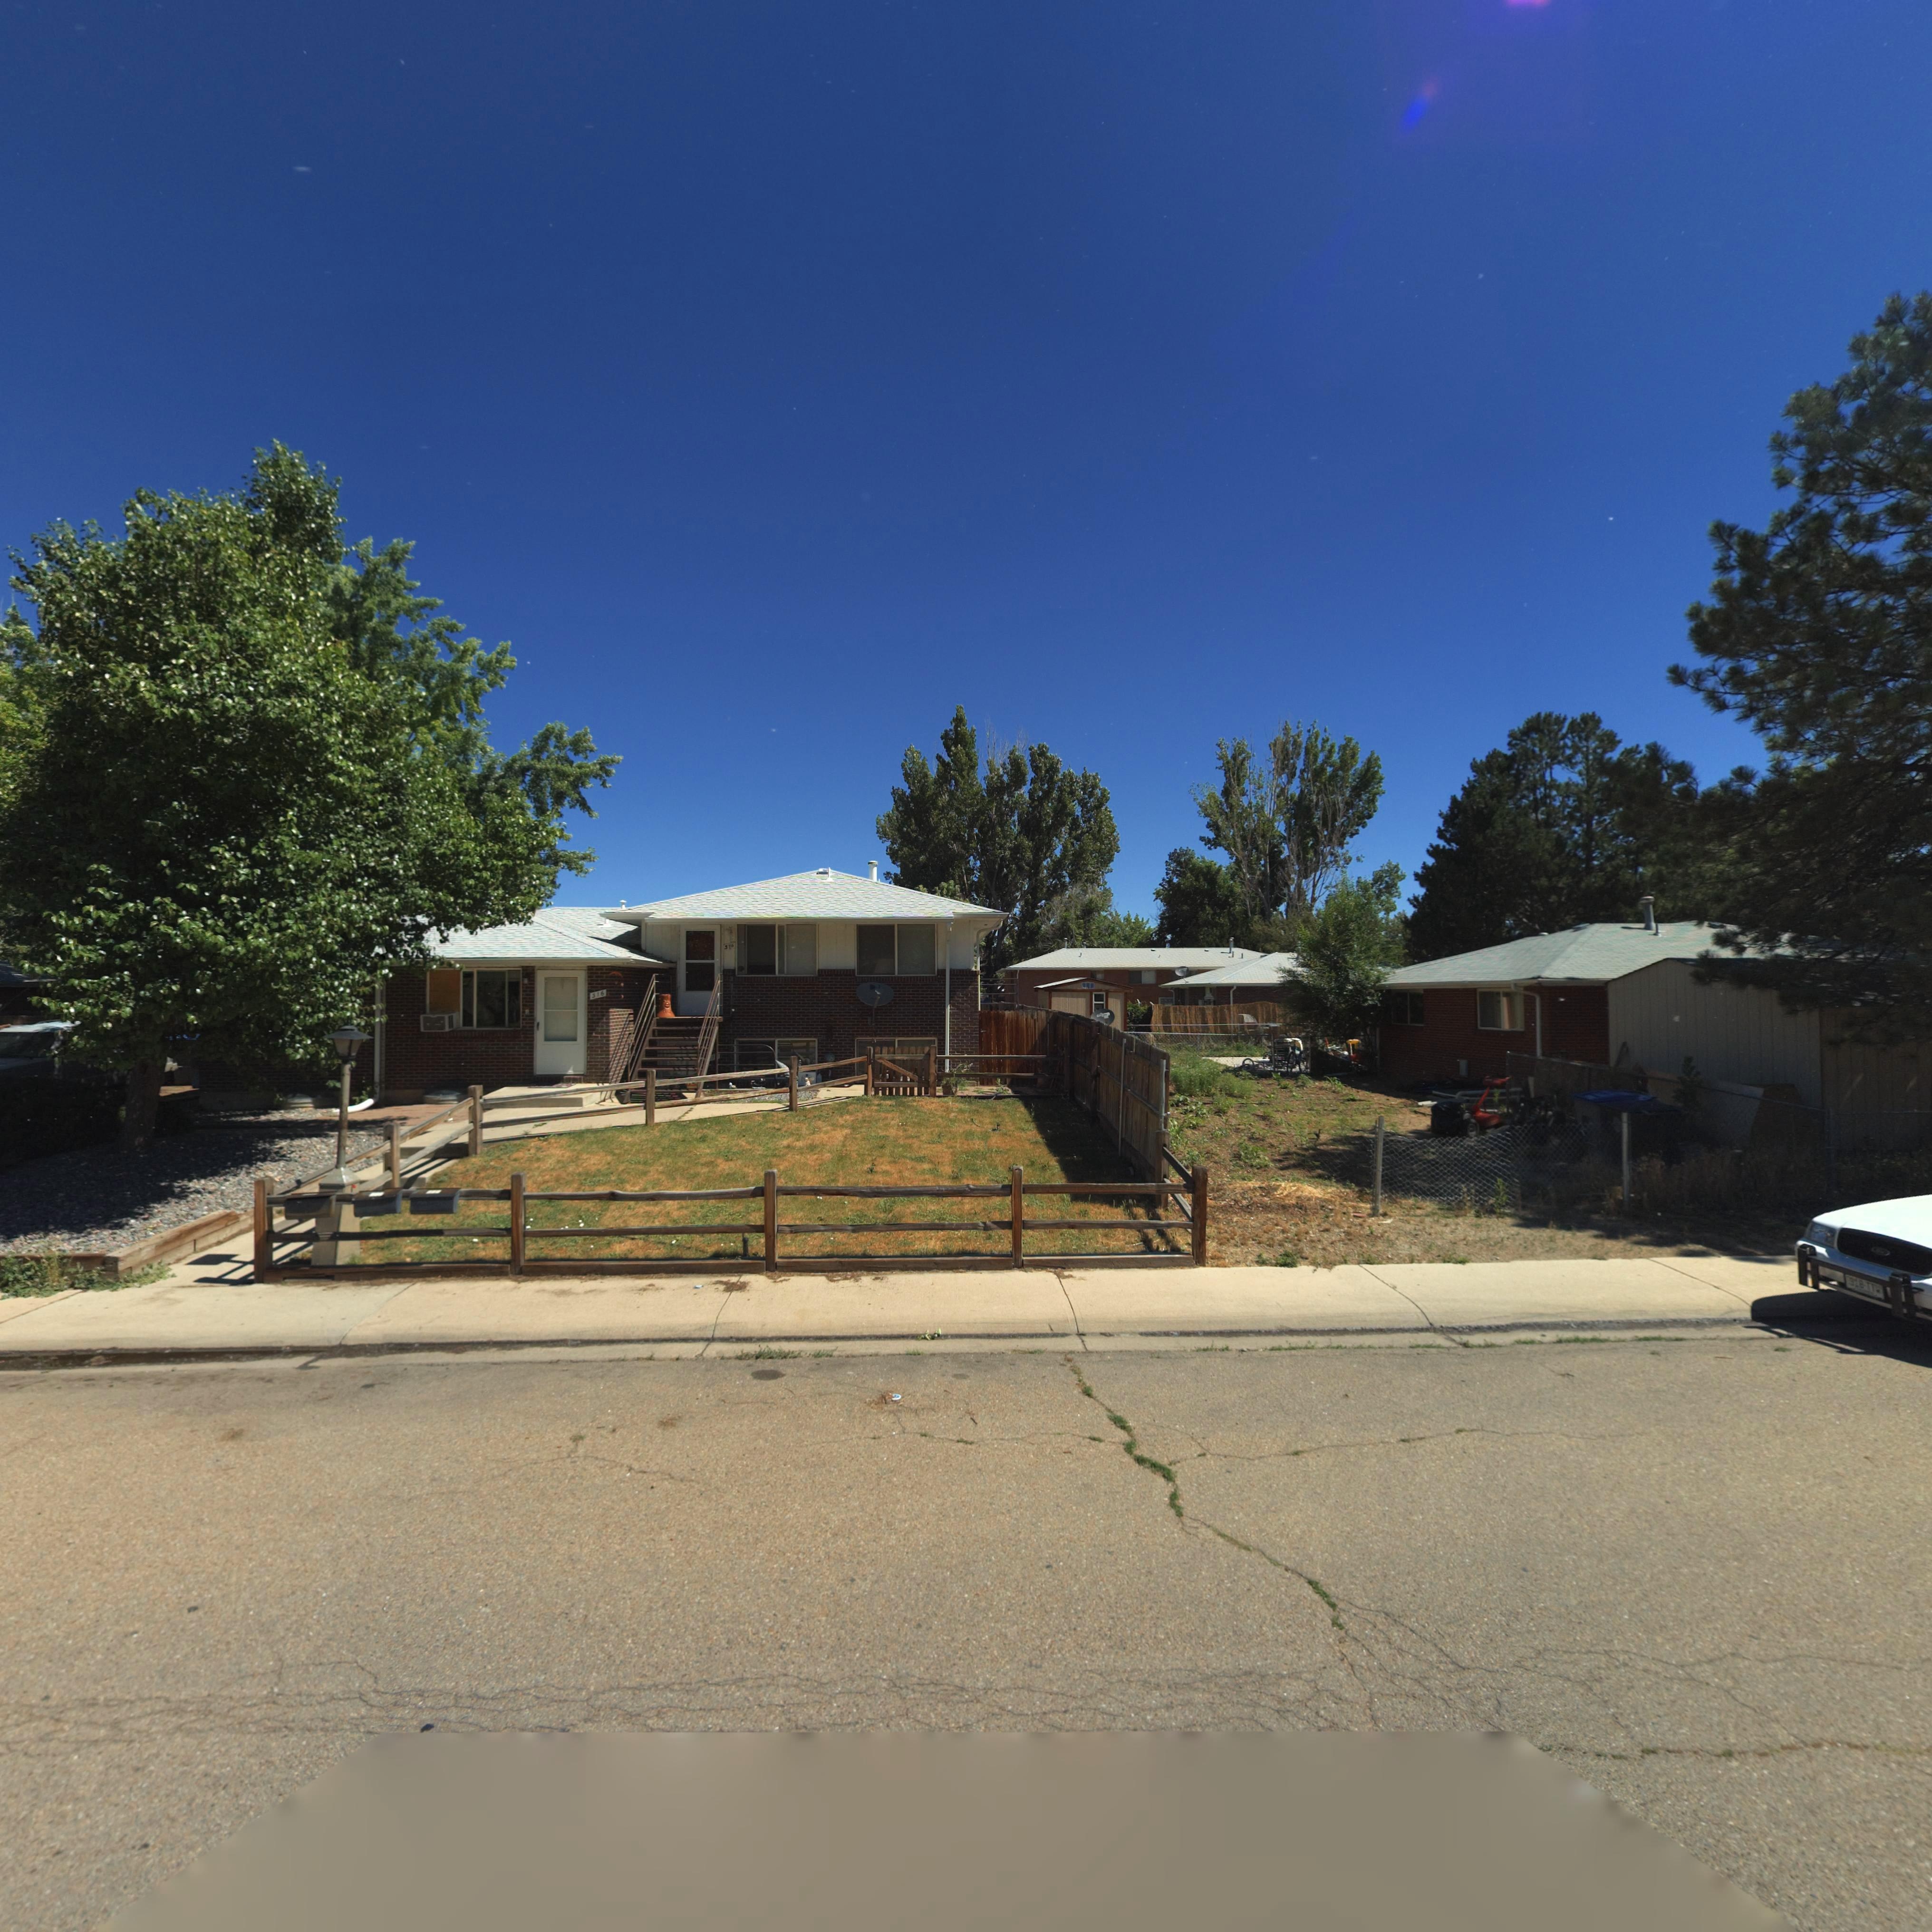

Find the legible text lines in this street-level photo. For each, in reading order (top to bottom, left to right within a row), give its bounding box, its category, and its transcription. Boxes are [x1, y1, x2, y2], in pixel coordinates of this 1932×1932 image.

[724, 943, 734, 950] StreetNumber: 314
[591, 989, 604, 998] StreetNumber: 316